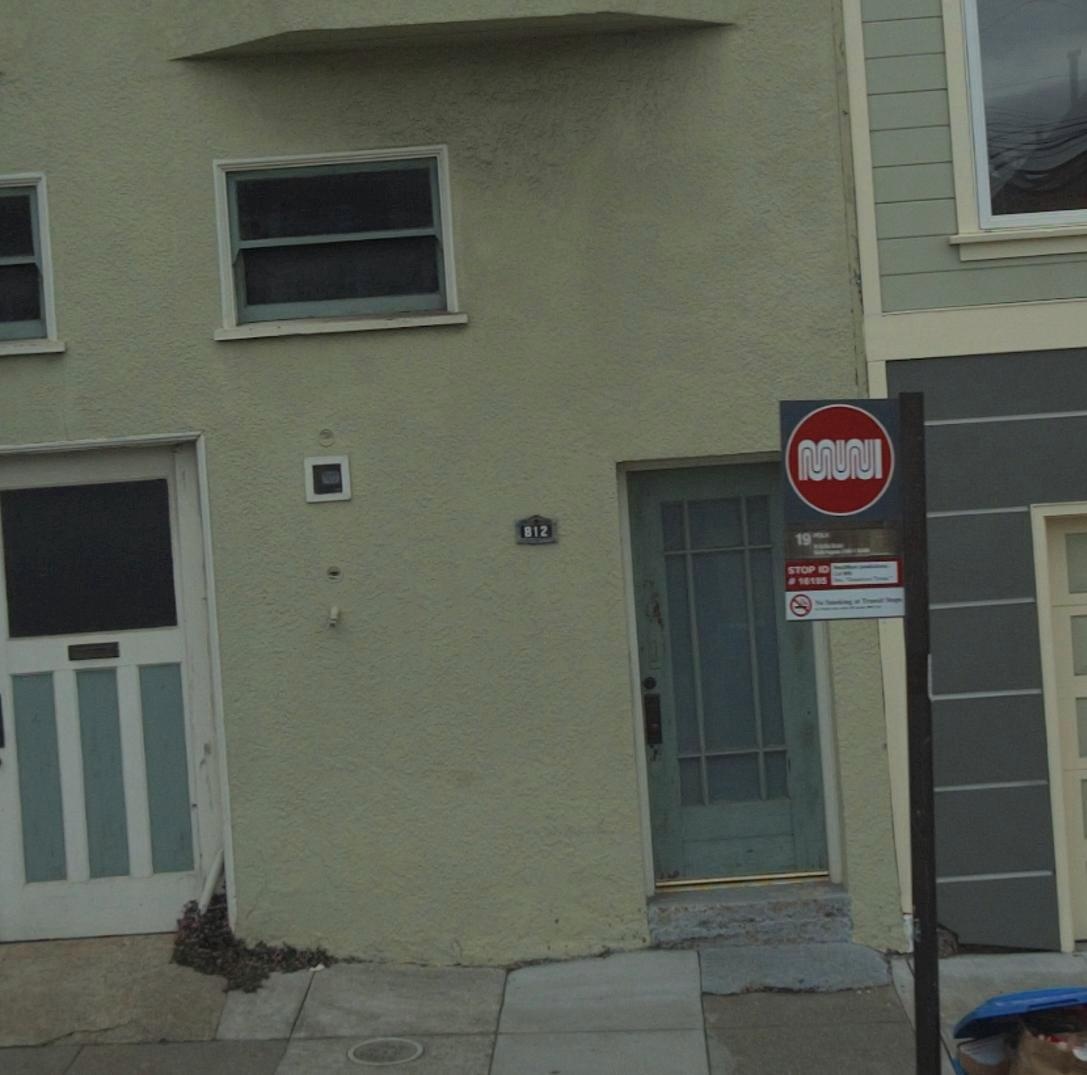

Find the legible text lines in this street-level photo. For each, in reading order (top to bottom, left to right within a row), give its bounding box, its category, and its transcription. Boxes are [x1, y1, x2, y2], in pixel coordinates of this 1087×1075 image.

[523, 524, 549, 538] StreetNumber: 812
[795, 531, 812, 547] None: 19
[787, 565, 830, 575] None: STOP ID
[797, 576, 828, 585] None: 1*193